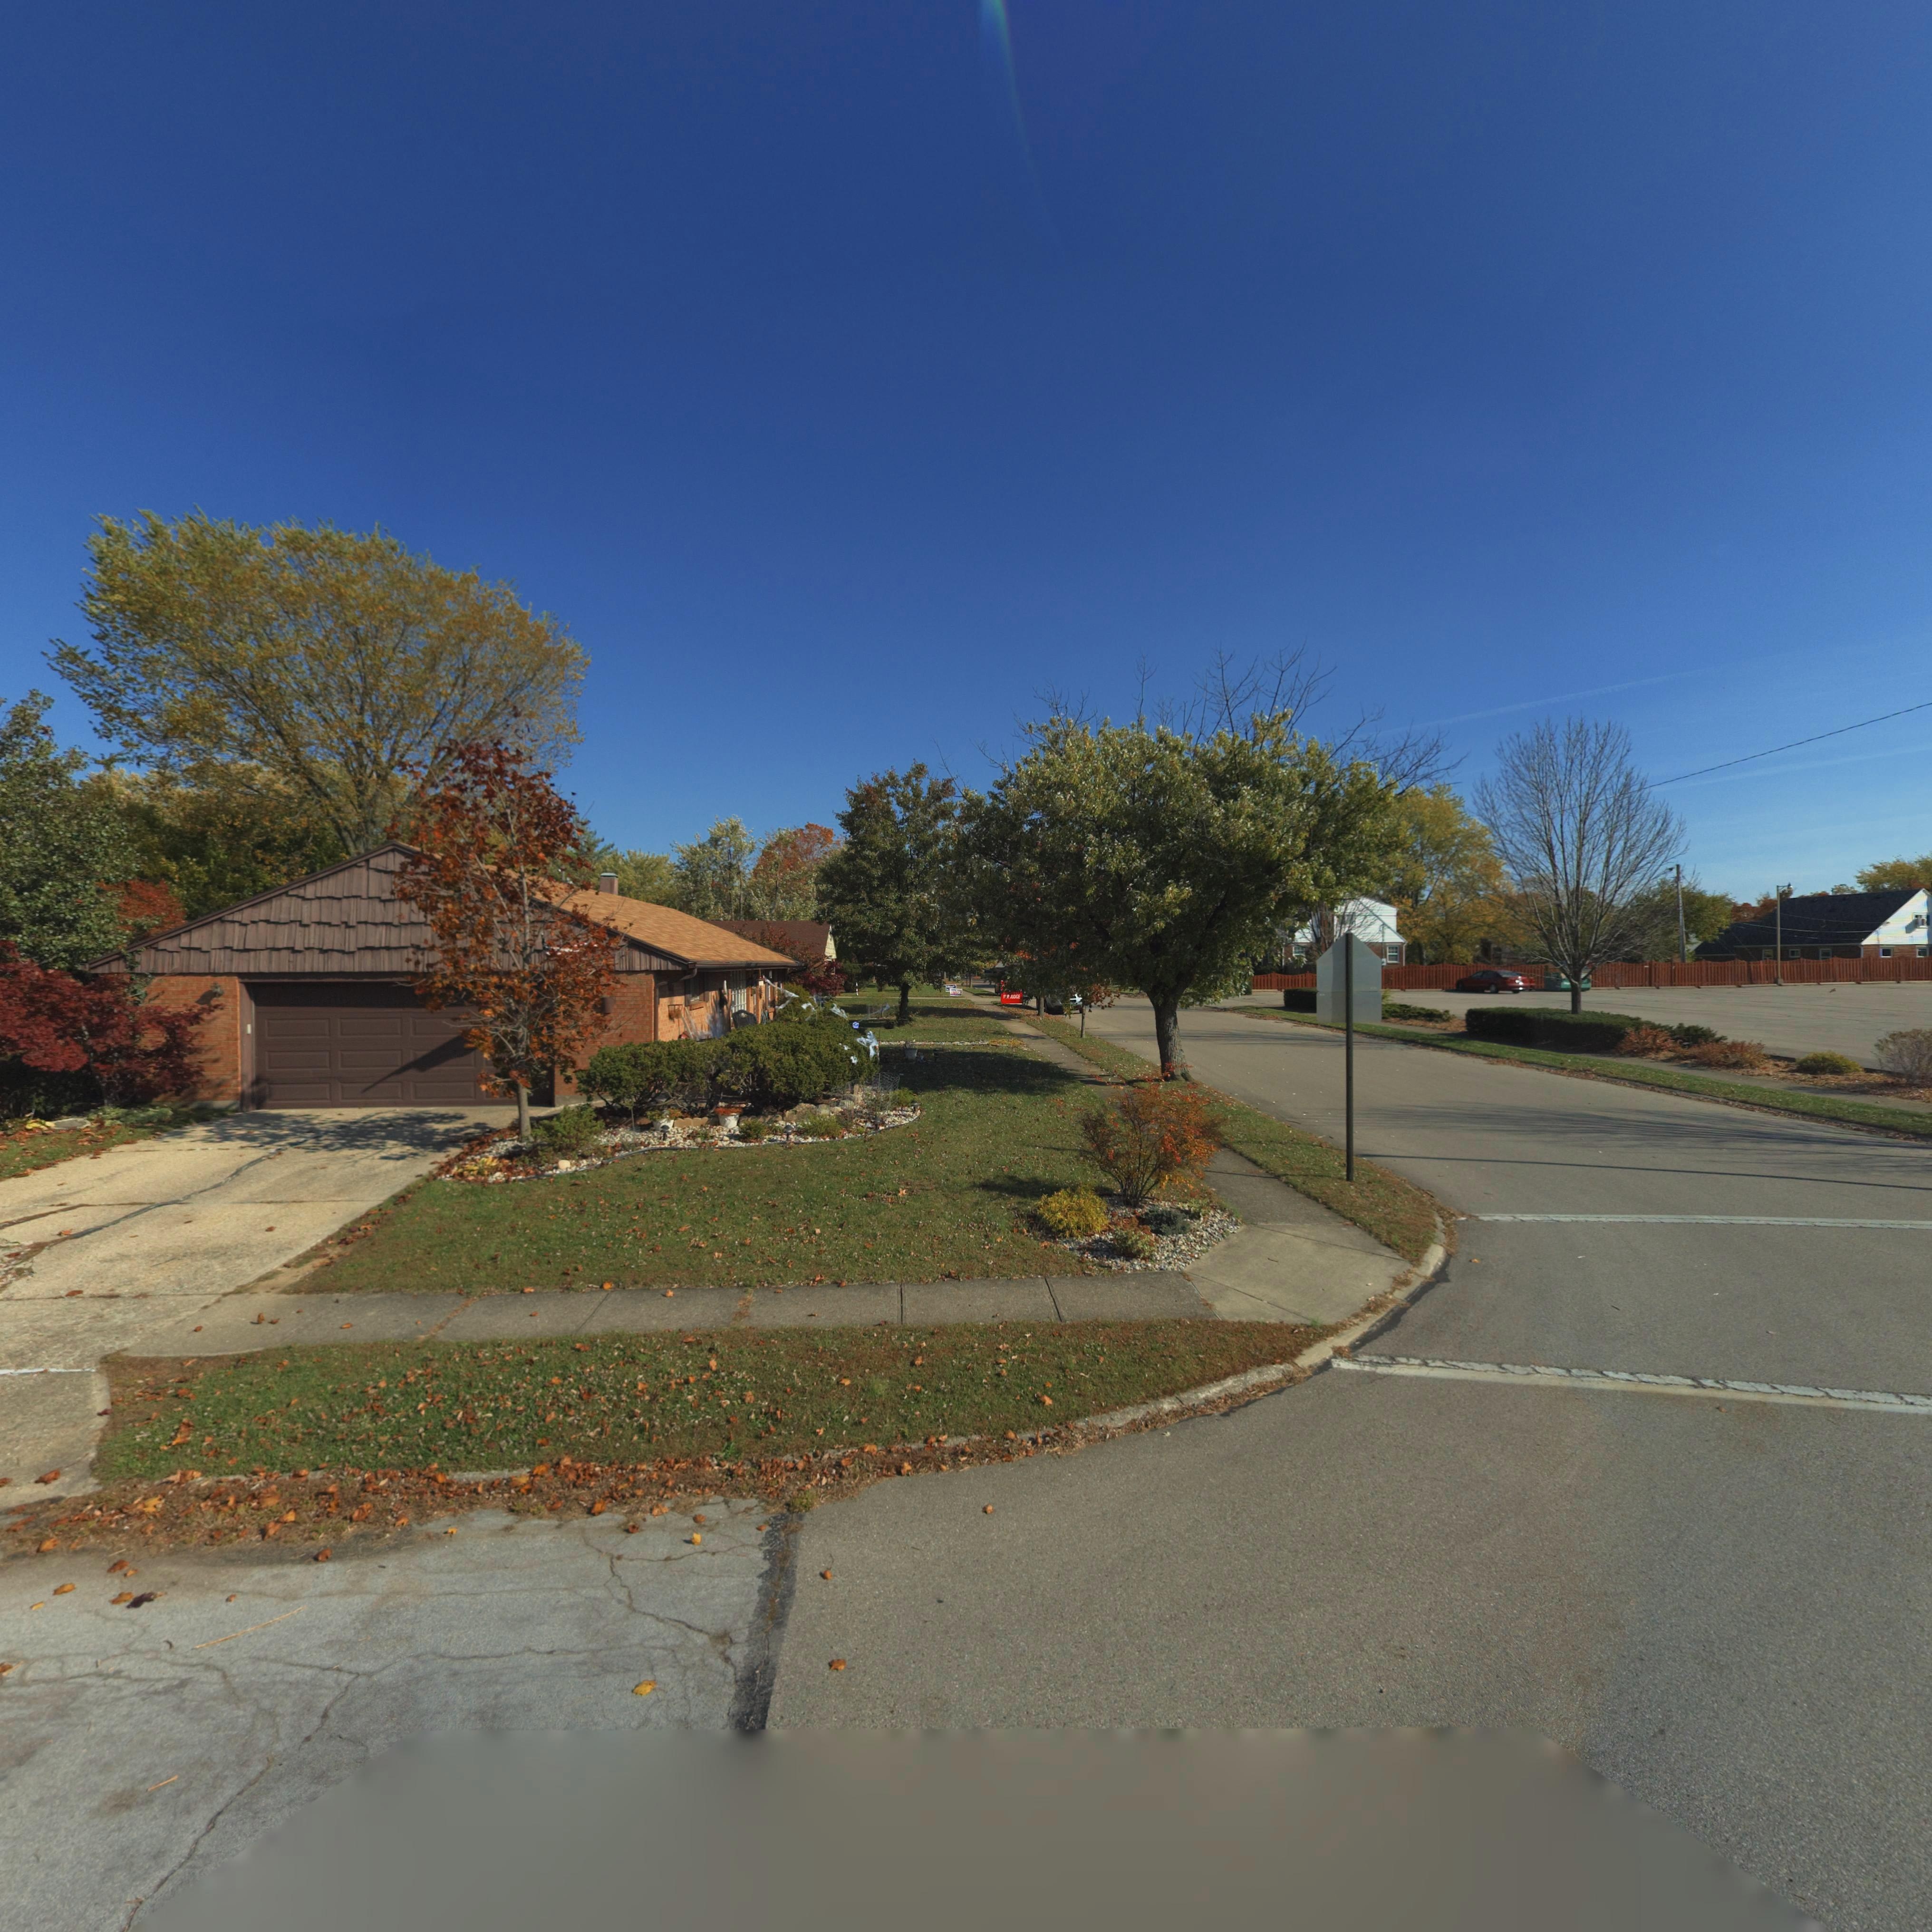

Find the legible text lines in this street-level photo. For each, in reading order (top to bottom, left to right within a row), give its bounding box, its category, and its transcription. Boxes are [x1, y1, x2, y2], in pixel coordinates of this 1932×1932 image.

[1003, 994, 1021, 999] None: F*R JUDGE